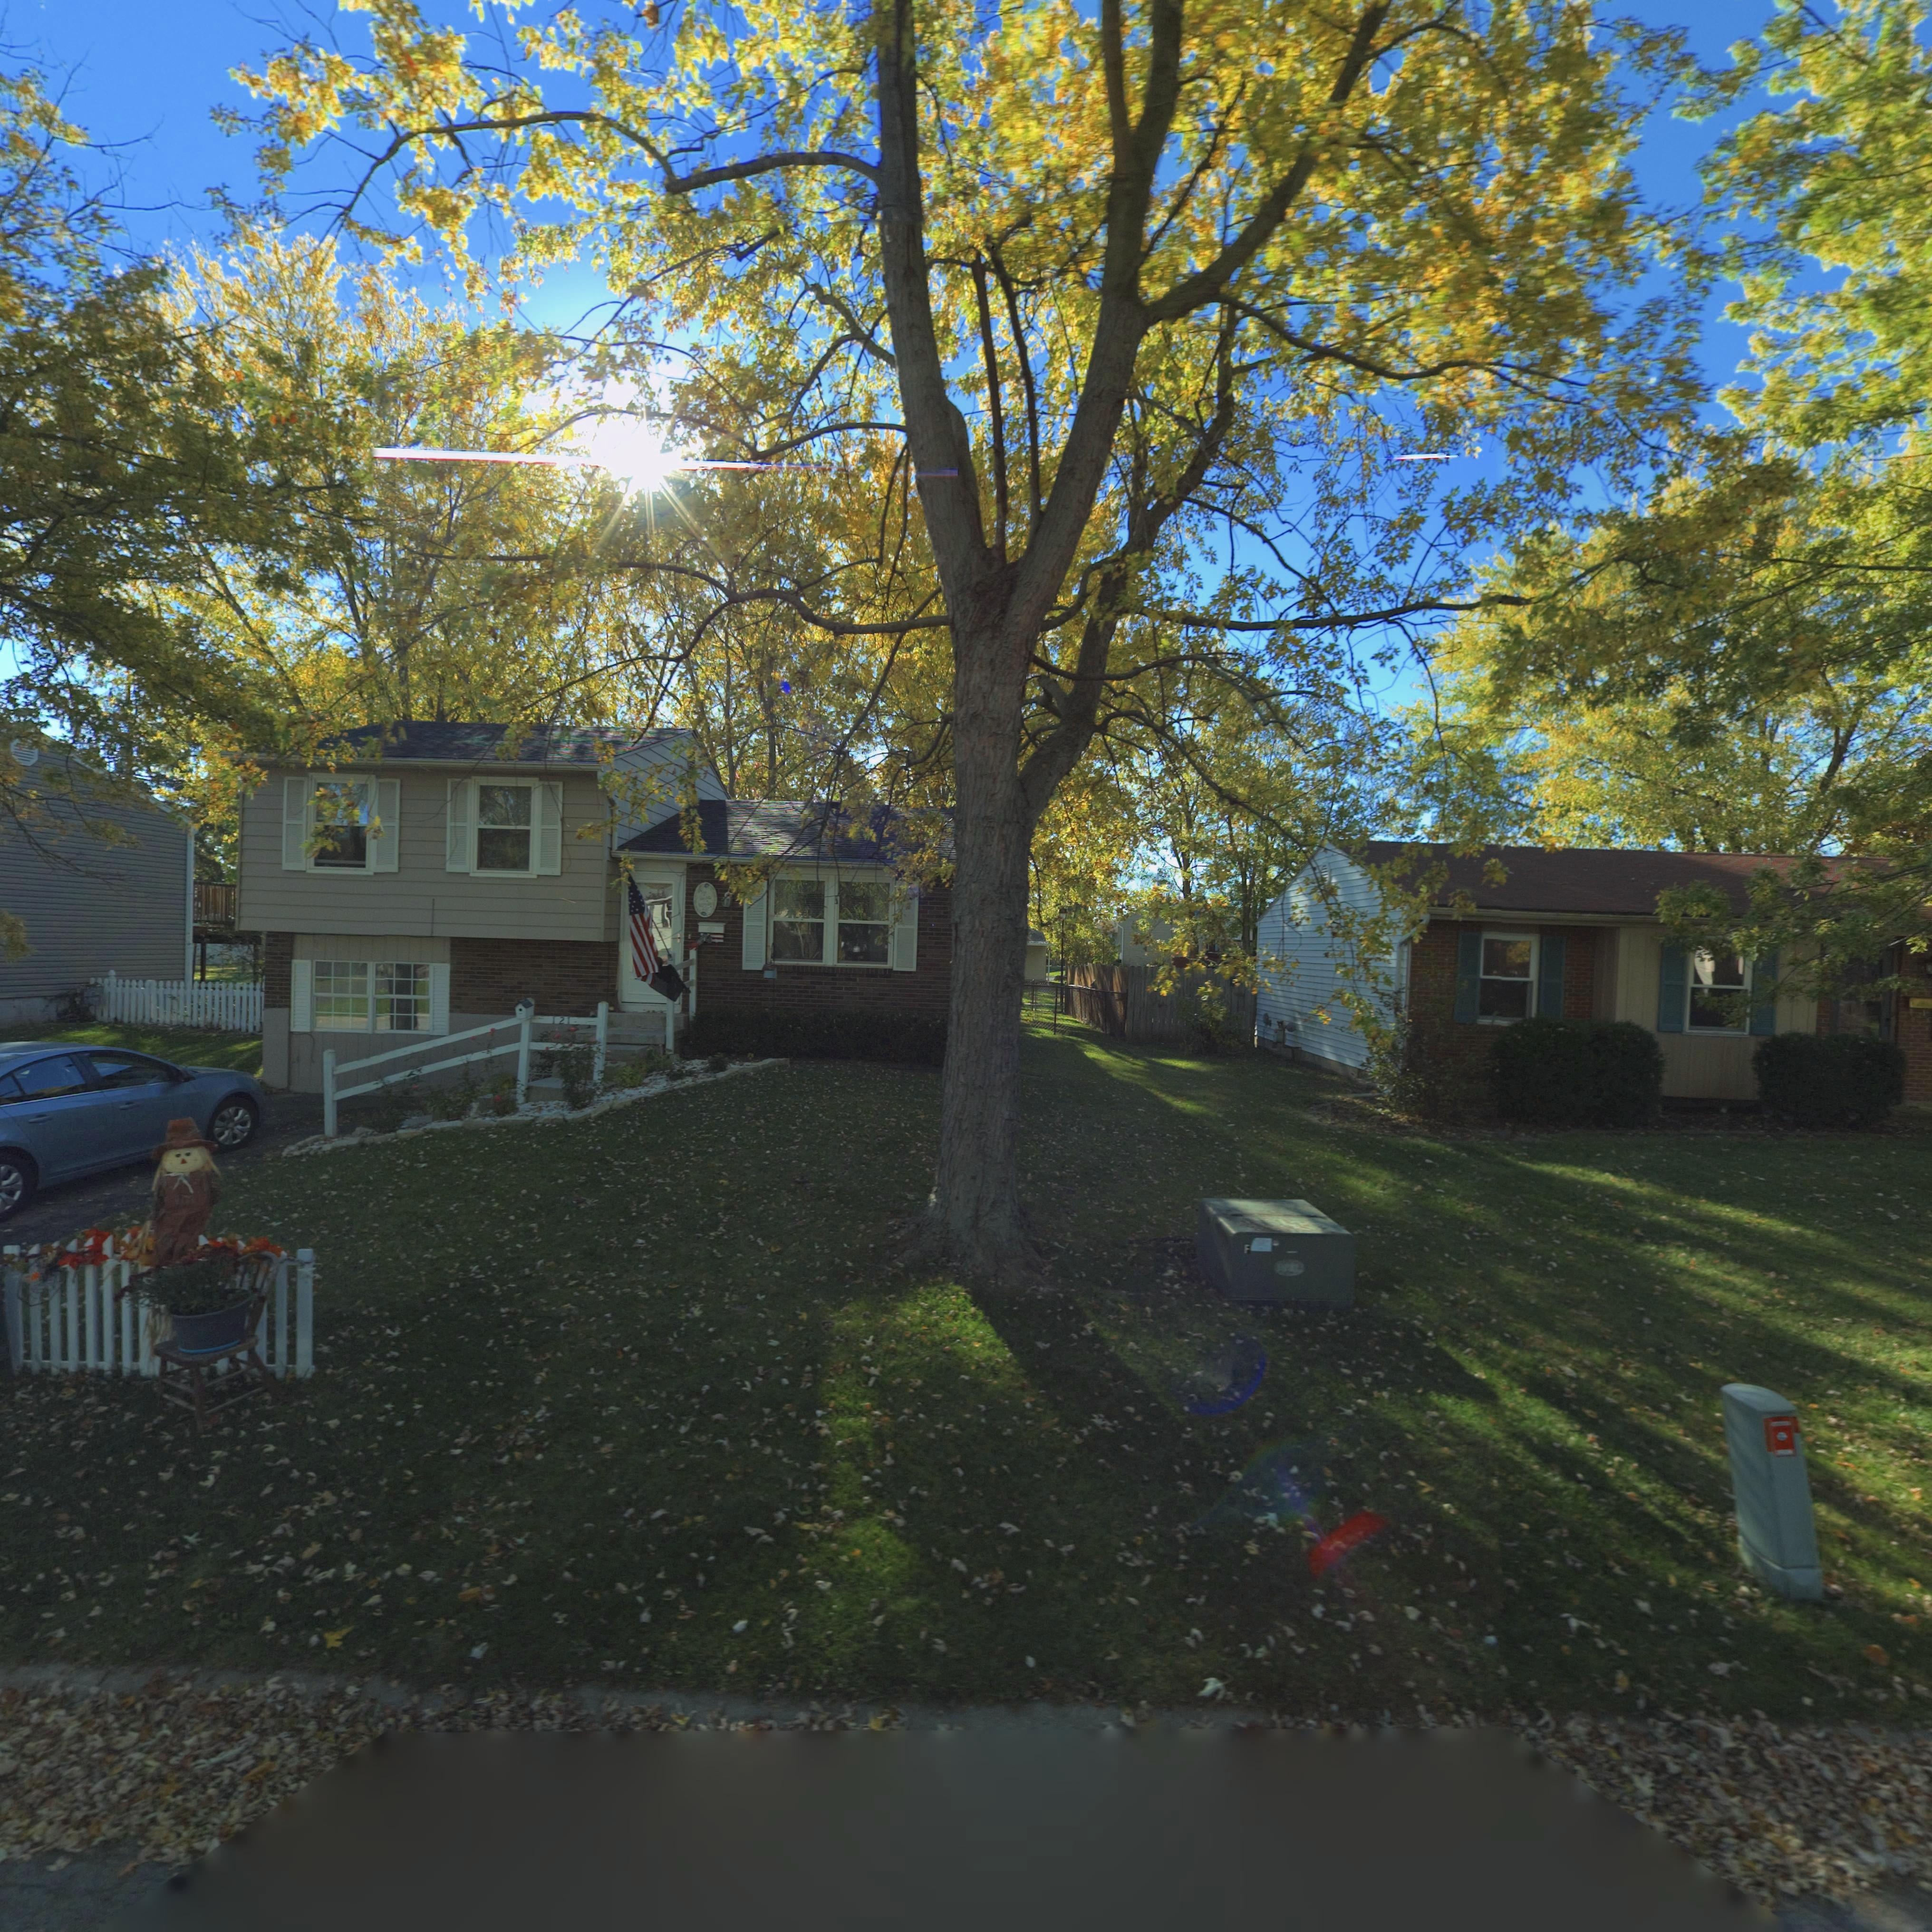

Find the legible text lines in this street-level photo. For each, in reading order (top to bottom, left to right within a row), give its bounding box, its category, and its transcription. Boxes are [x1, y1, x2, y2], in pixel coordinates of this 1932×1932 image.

[551, 1015, 571, 1025] StreetNumber: 121